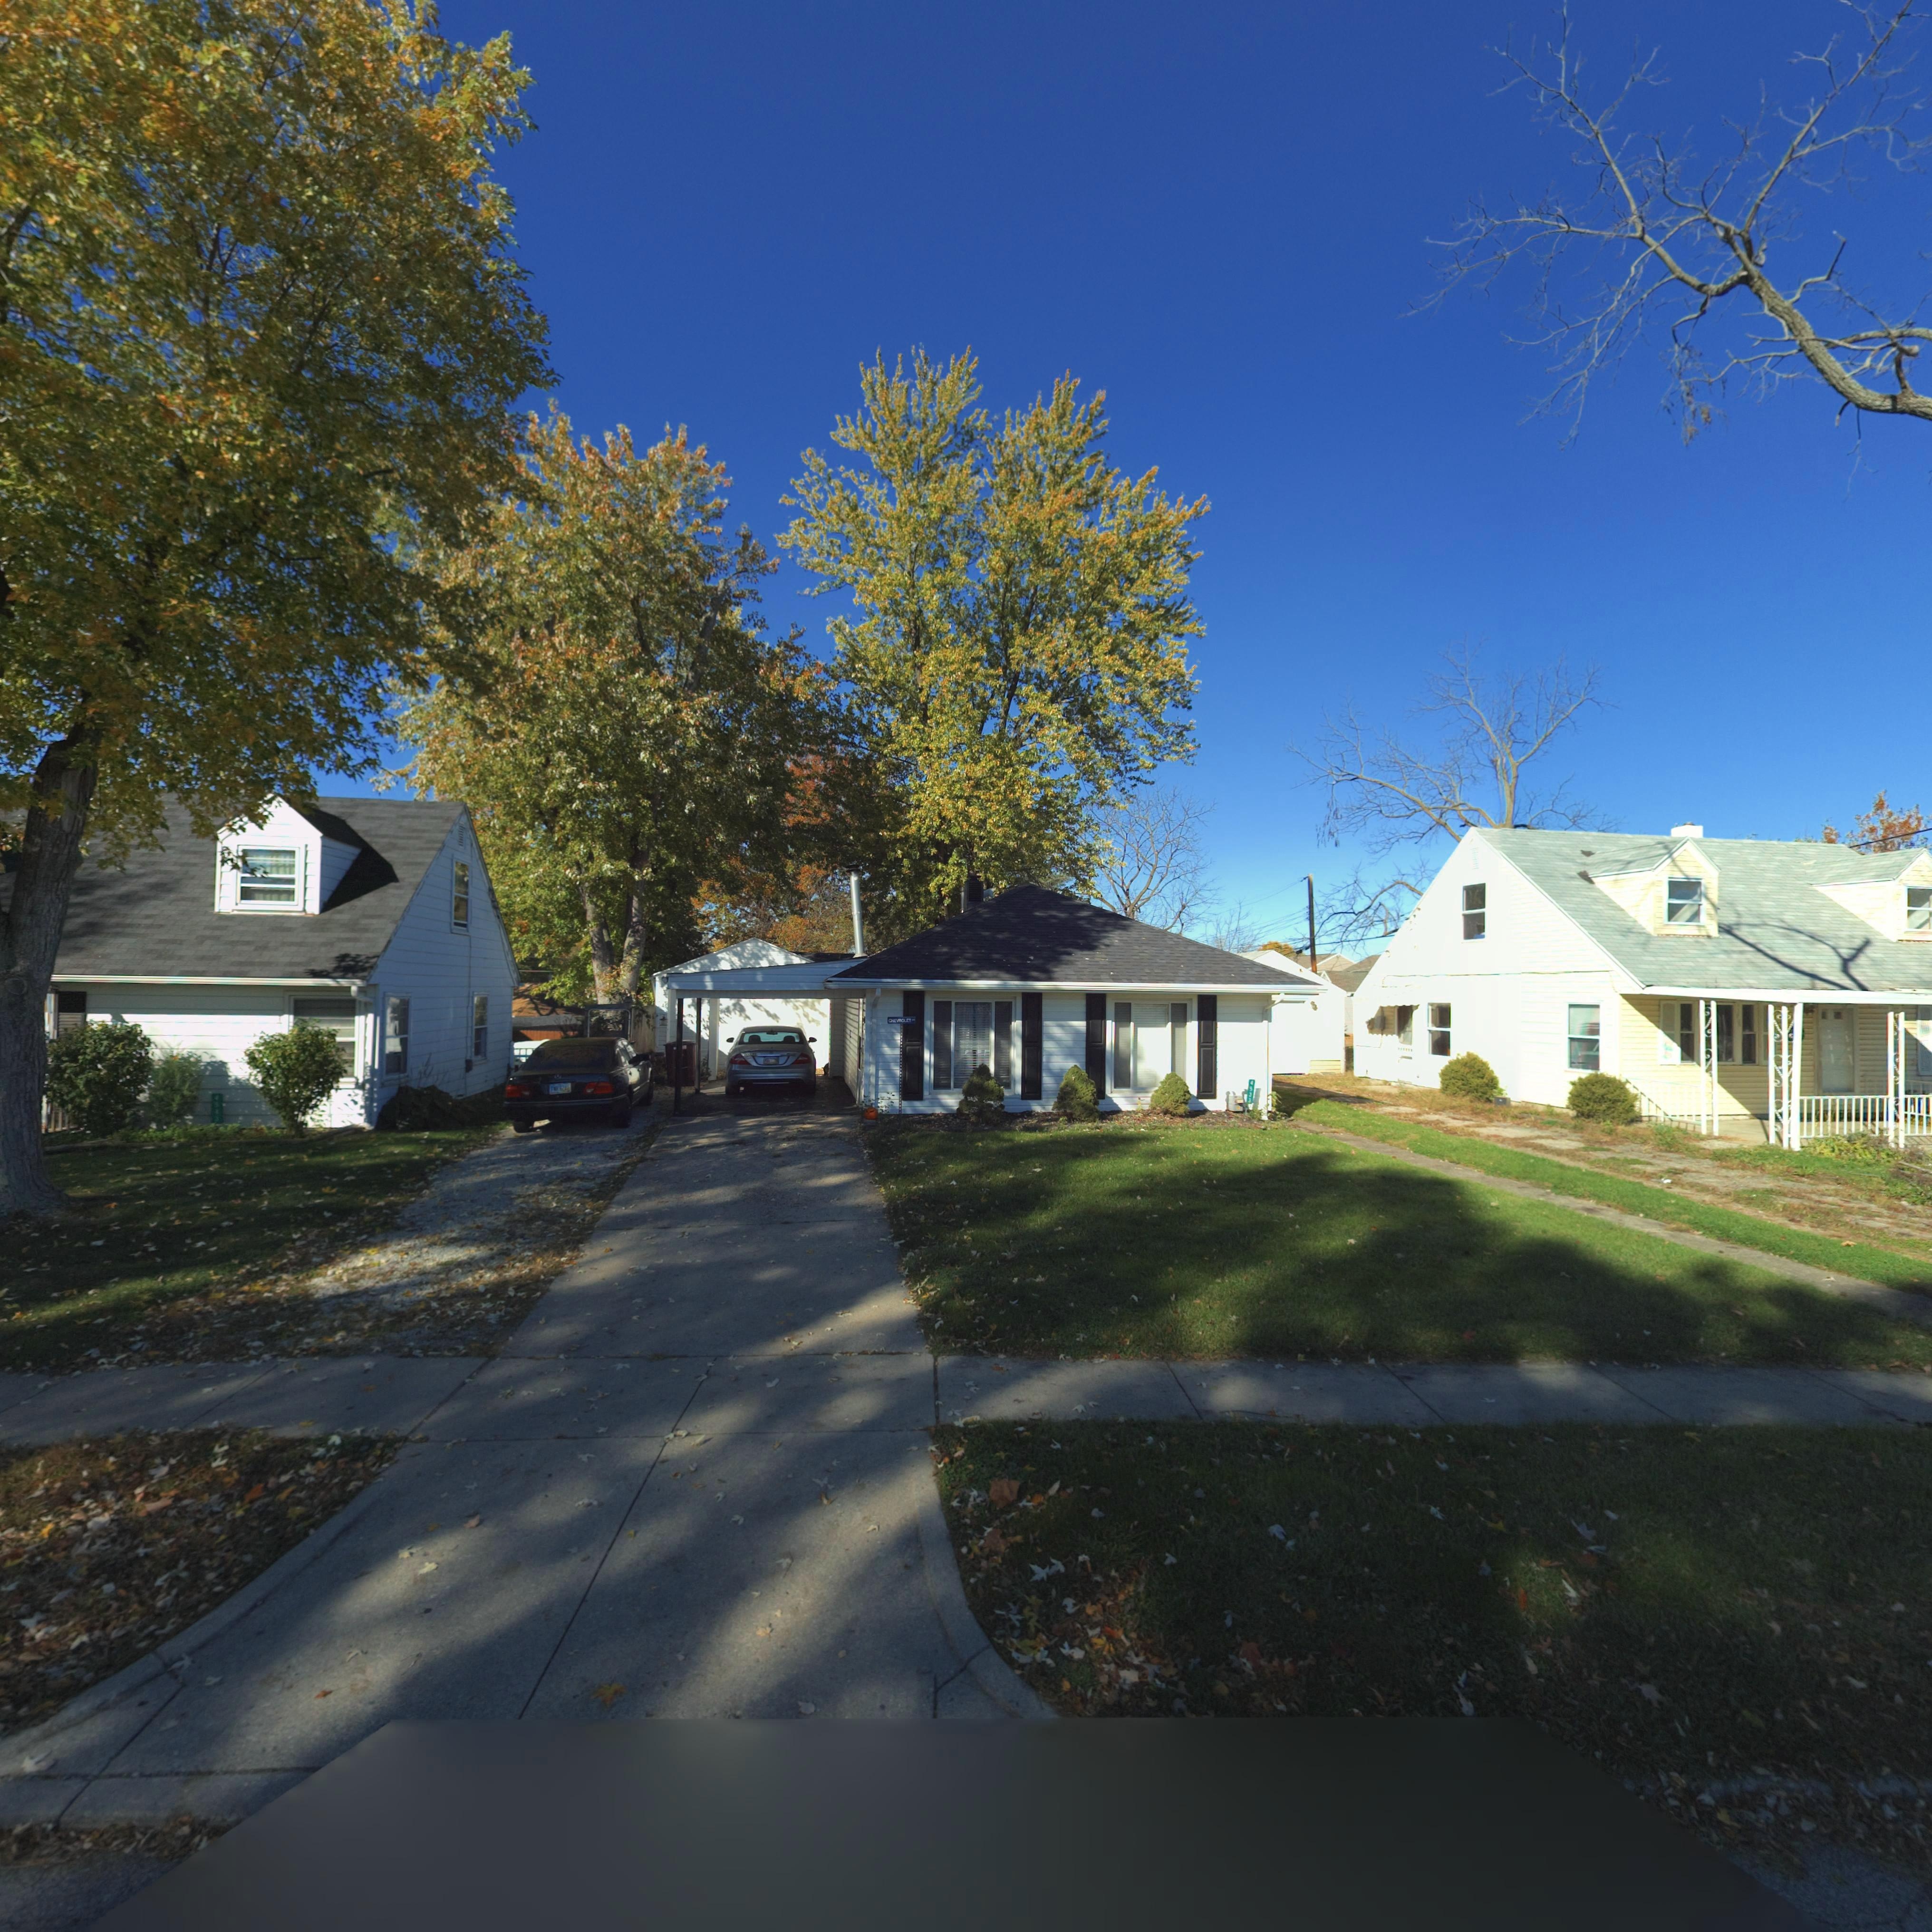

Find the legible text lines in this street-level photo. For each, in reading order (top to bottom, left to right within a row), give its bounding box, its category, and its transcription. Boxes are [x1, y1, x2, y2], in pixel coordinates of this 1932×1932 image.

[1247, 1080, 1254, 1103] StreetNumber: 4533
[213, 1094, 220, 1122] StreetNumber: 45*3